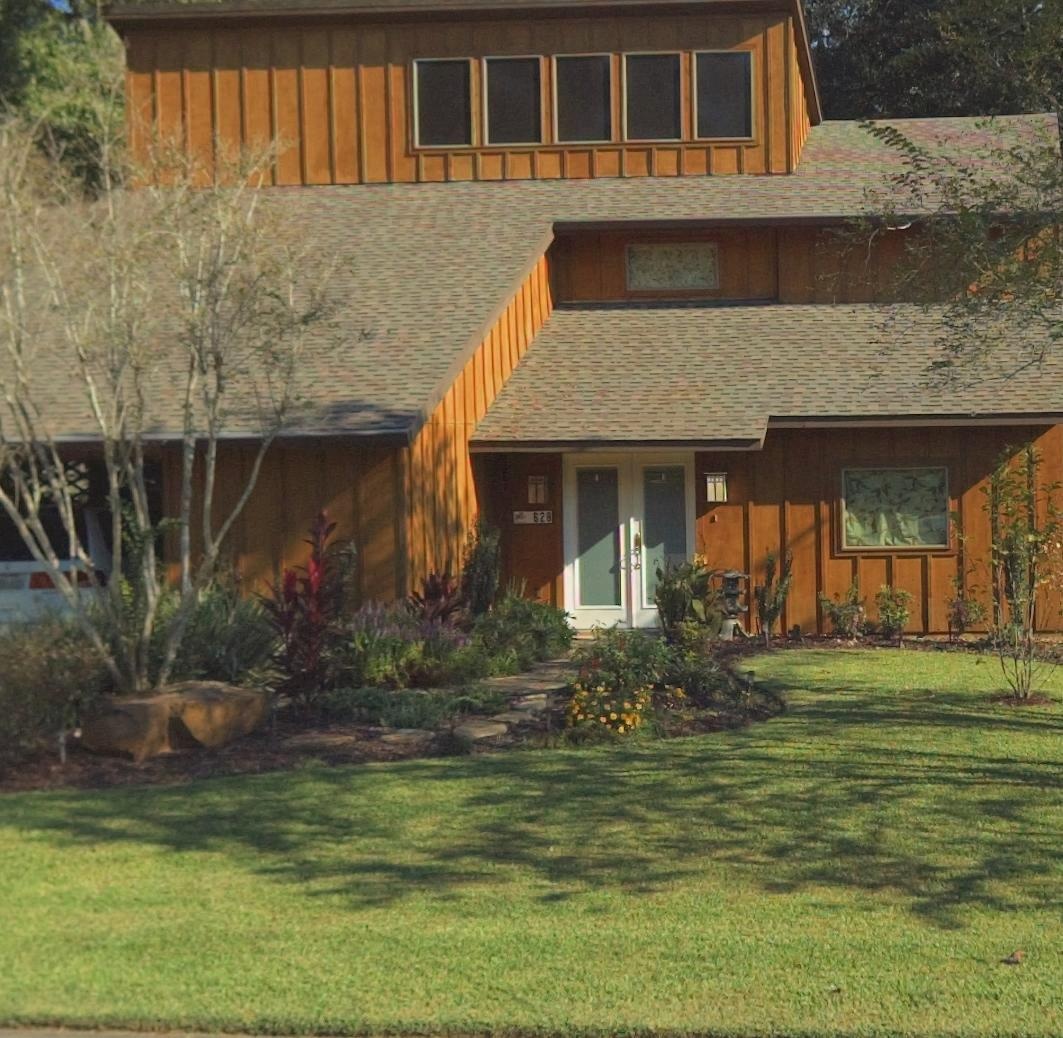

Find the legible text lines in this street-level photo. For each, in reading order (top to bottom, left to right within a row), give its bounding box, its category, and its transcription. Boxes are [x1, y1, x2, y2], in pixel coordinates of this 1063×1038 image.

[531, 510, 554, 524] StreetNumber: 628